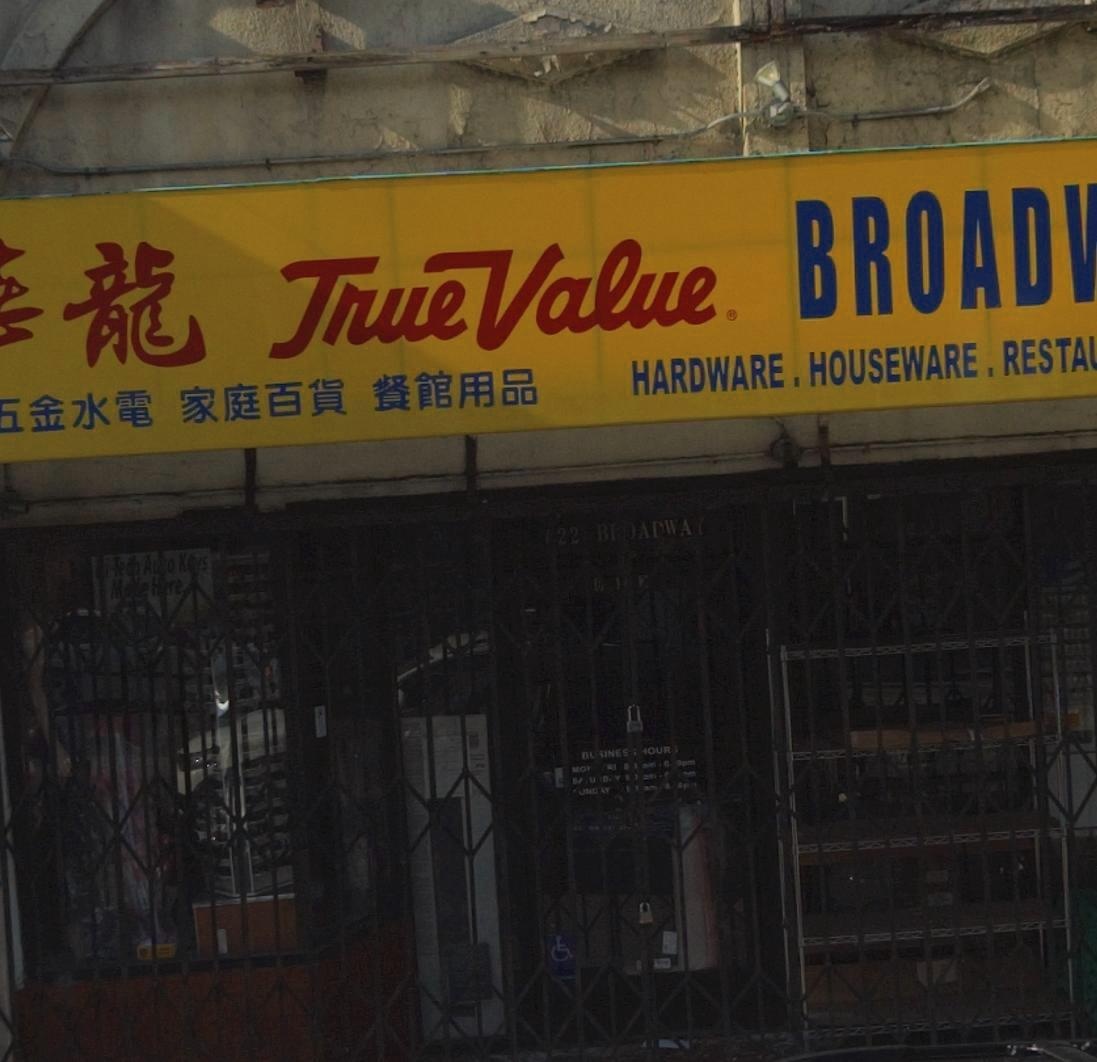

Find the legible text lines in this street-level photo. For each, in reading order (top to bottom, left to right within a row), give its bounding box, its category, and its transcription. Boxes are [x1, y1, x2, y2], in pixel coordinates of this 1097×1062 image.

[792, 183, 1056, 321] BusinessName: BROAD
[266, 237, 721, 362] None: TrueValue
[630, 334, 1091, 399] None: HARDWARE.HOUSEWARE.RESTA
[554, 524, 581, 548] StreetNumber: 22
[595, 514, 706, 546] None: B**ADWA*
[570, 764, 588, 775] None: MO
[580, 744, 673, 762] None: B**INES***OUR
[681, 758, 696, 768] None: pm
[577, 785, 610, 797] None: UND*Y